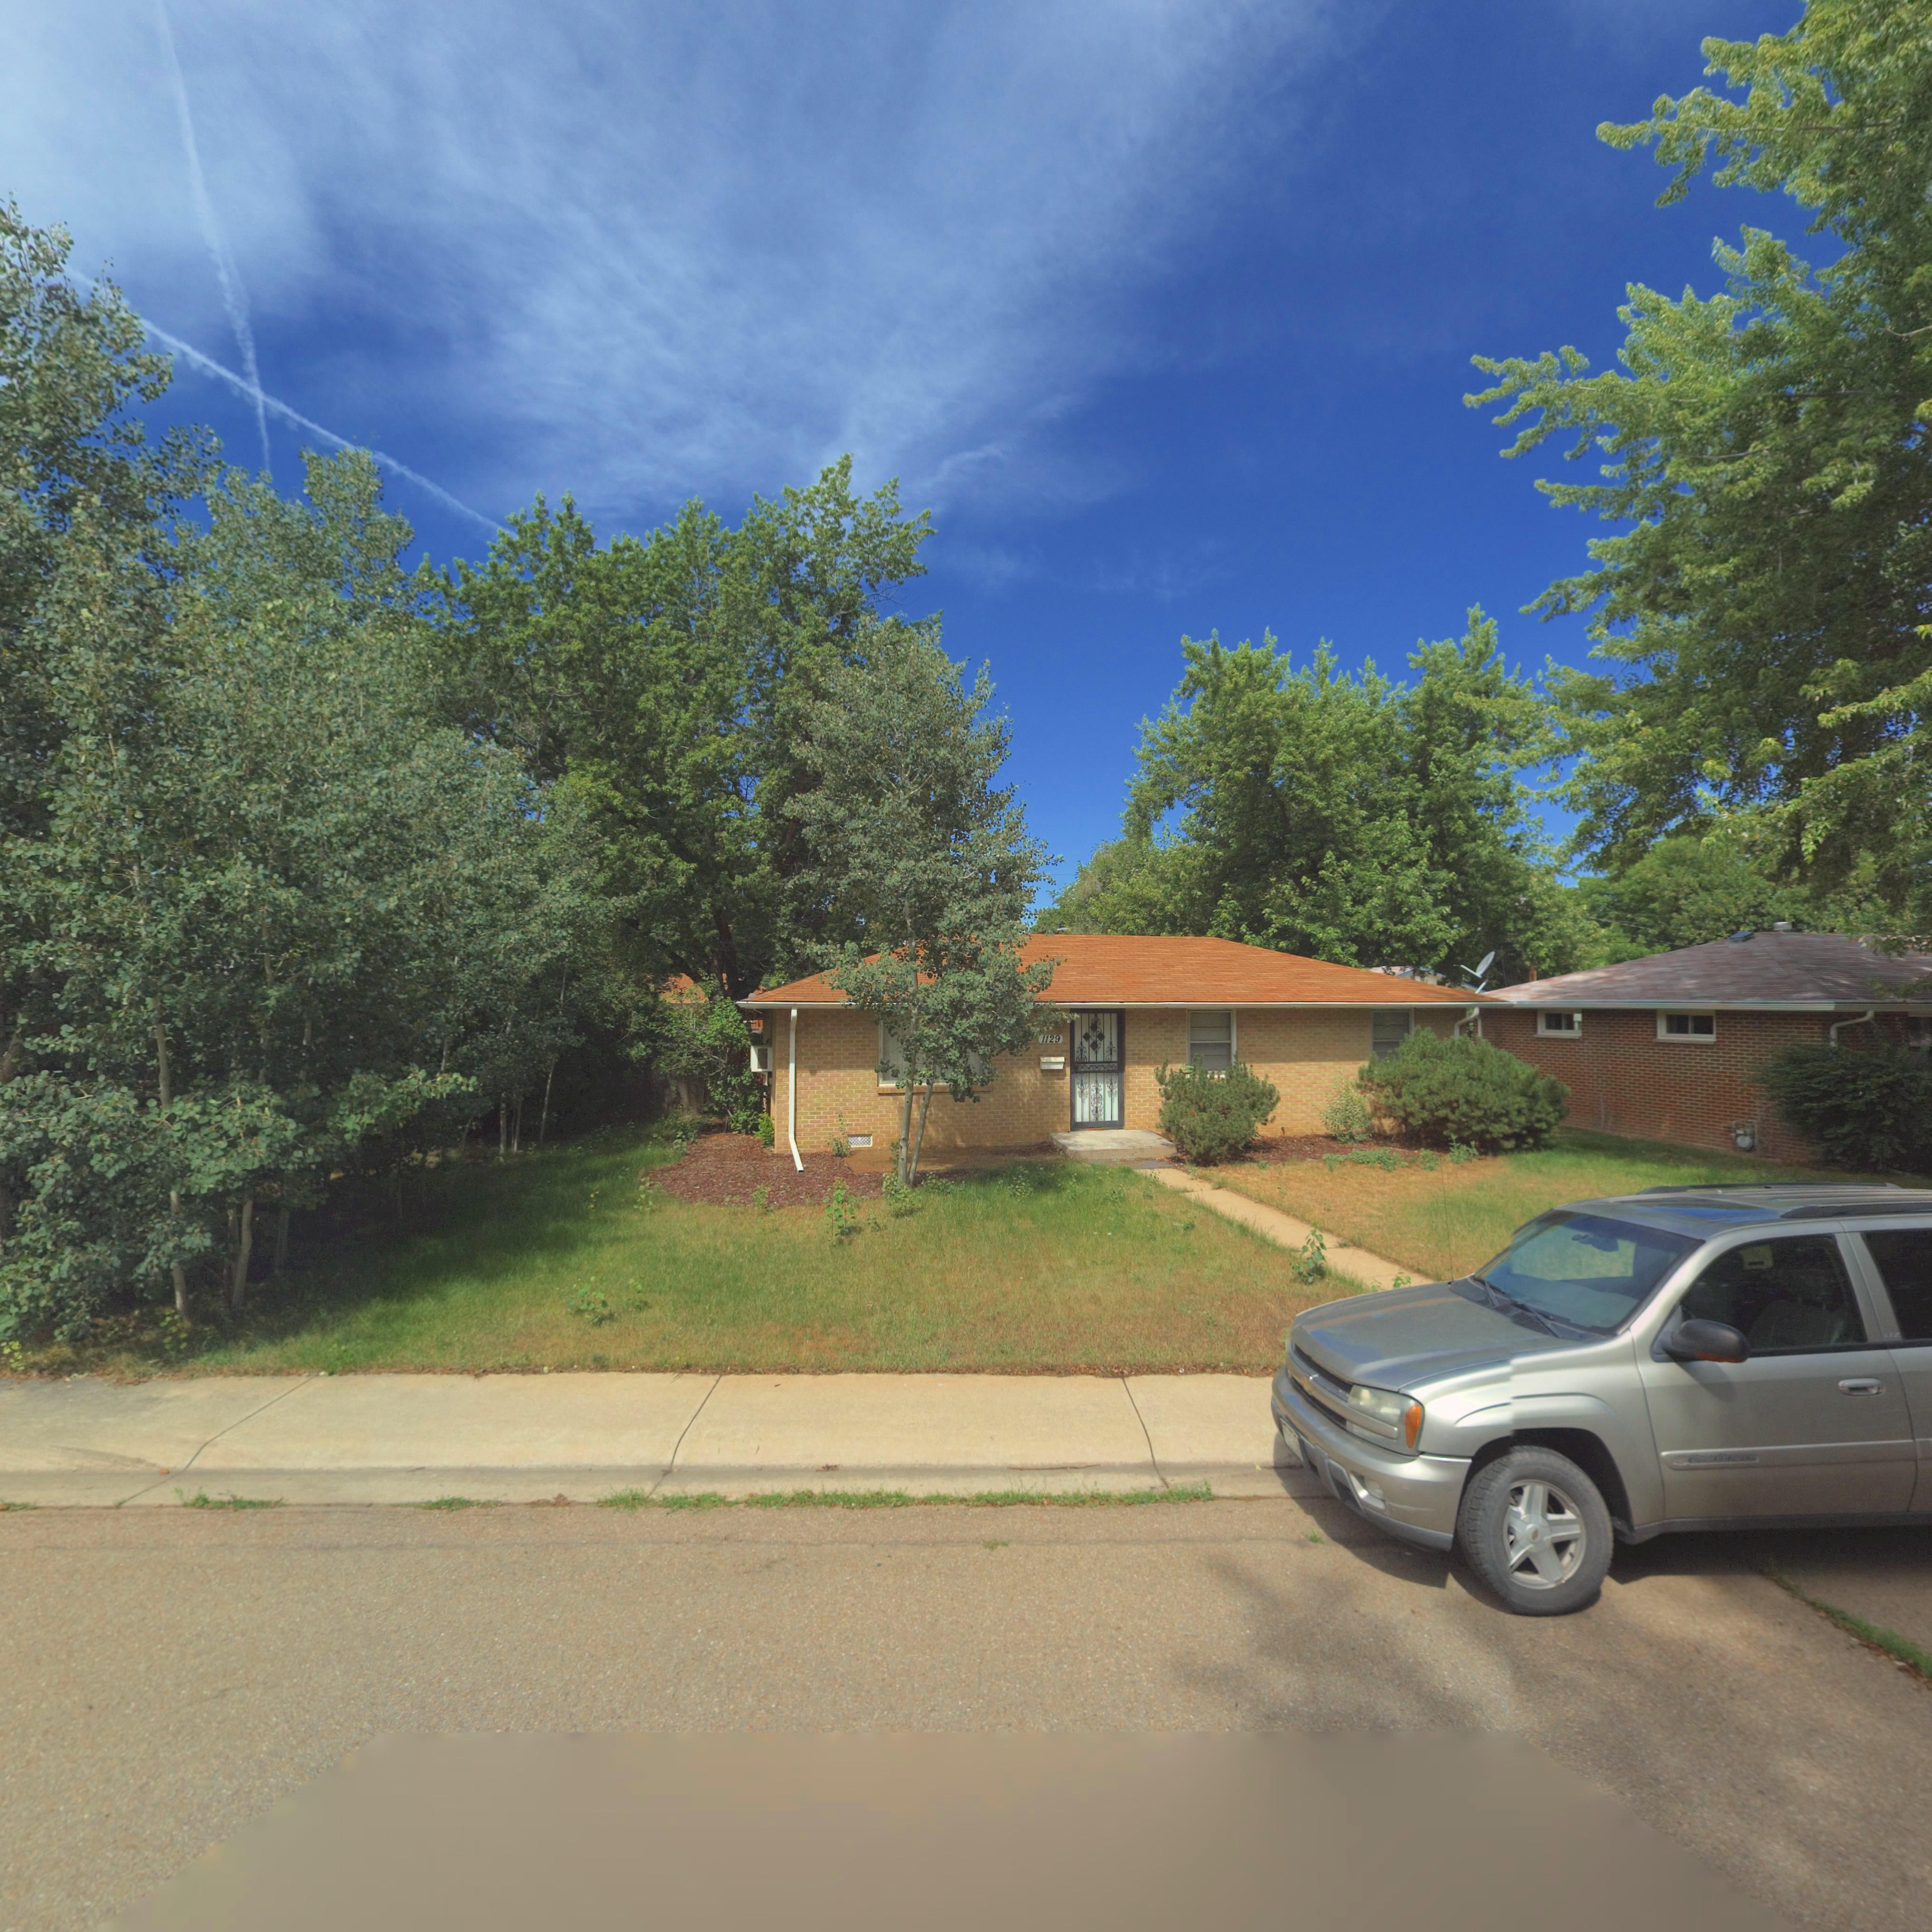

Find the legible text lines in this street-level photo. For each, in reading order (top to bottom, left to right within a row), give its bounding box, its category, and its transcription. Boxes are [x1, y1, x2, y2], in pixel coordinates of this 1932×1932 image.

[1041, 1034, 1060, 1043] StreetNumber: 1129